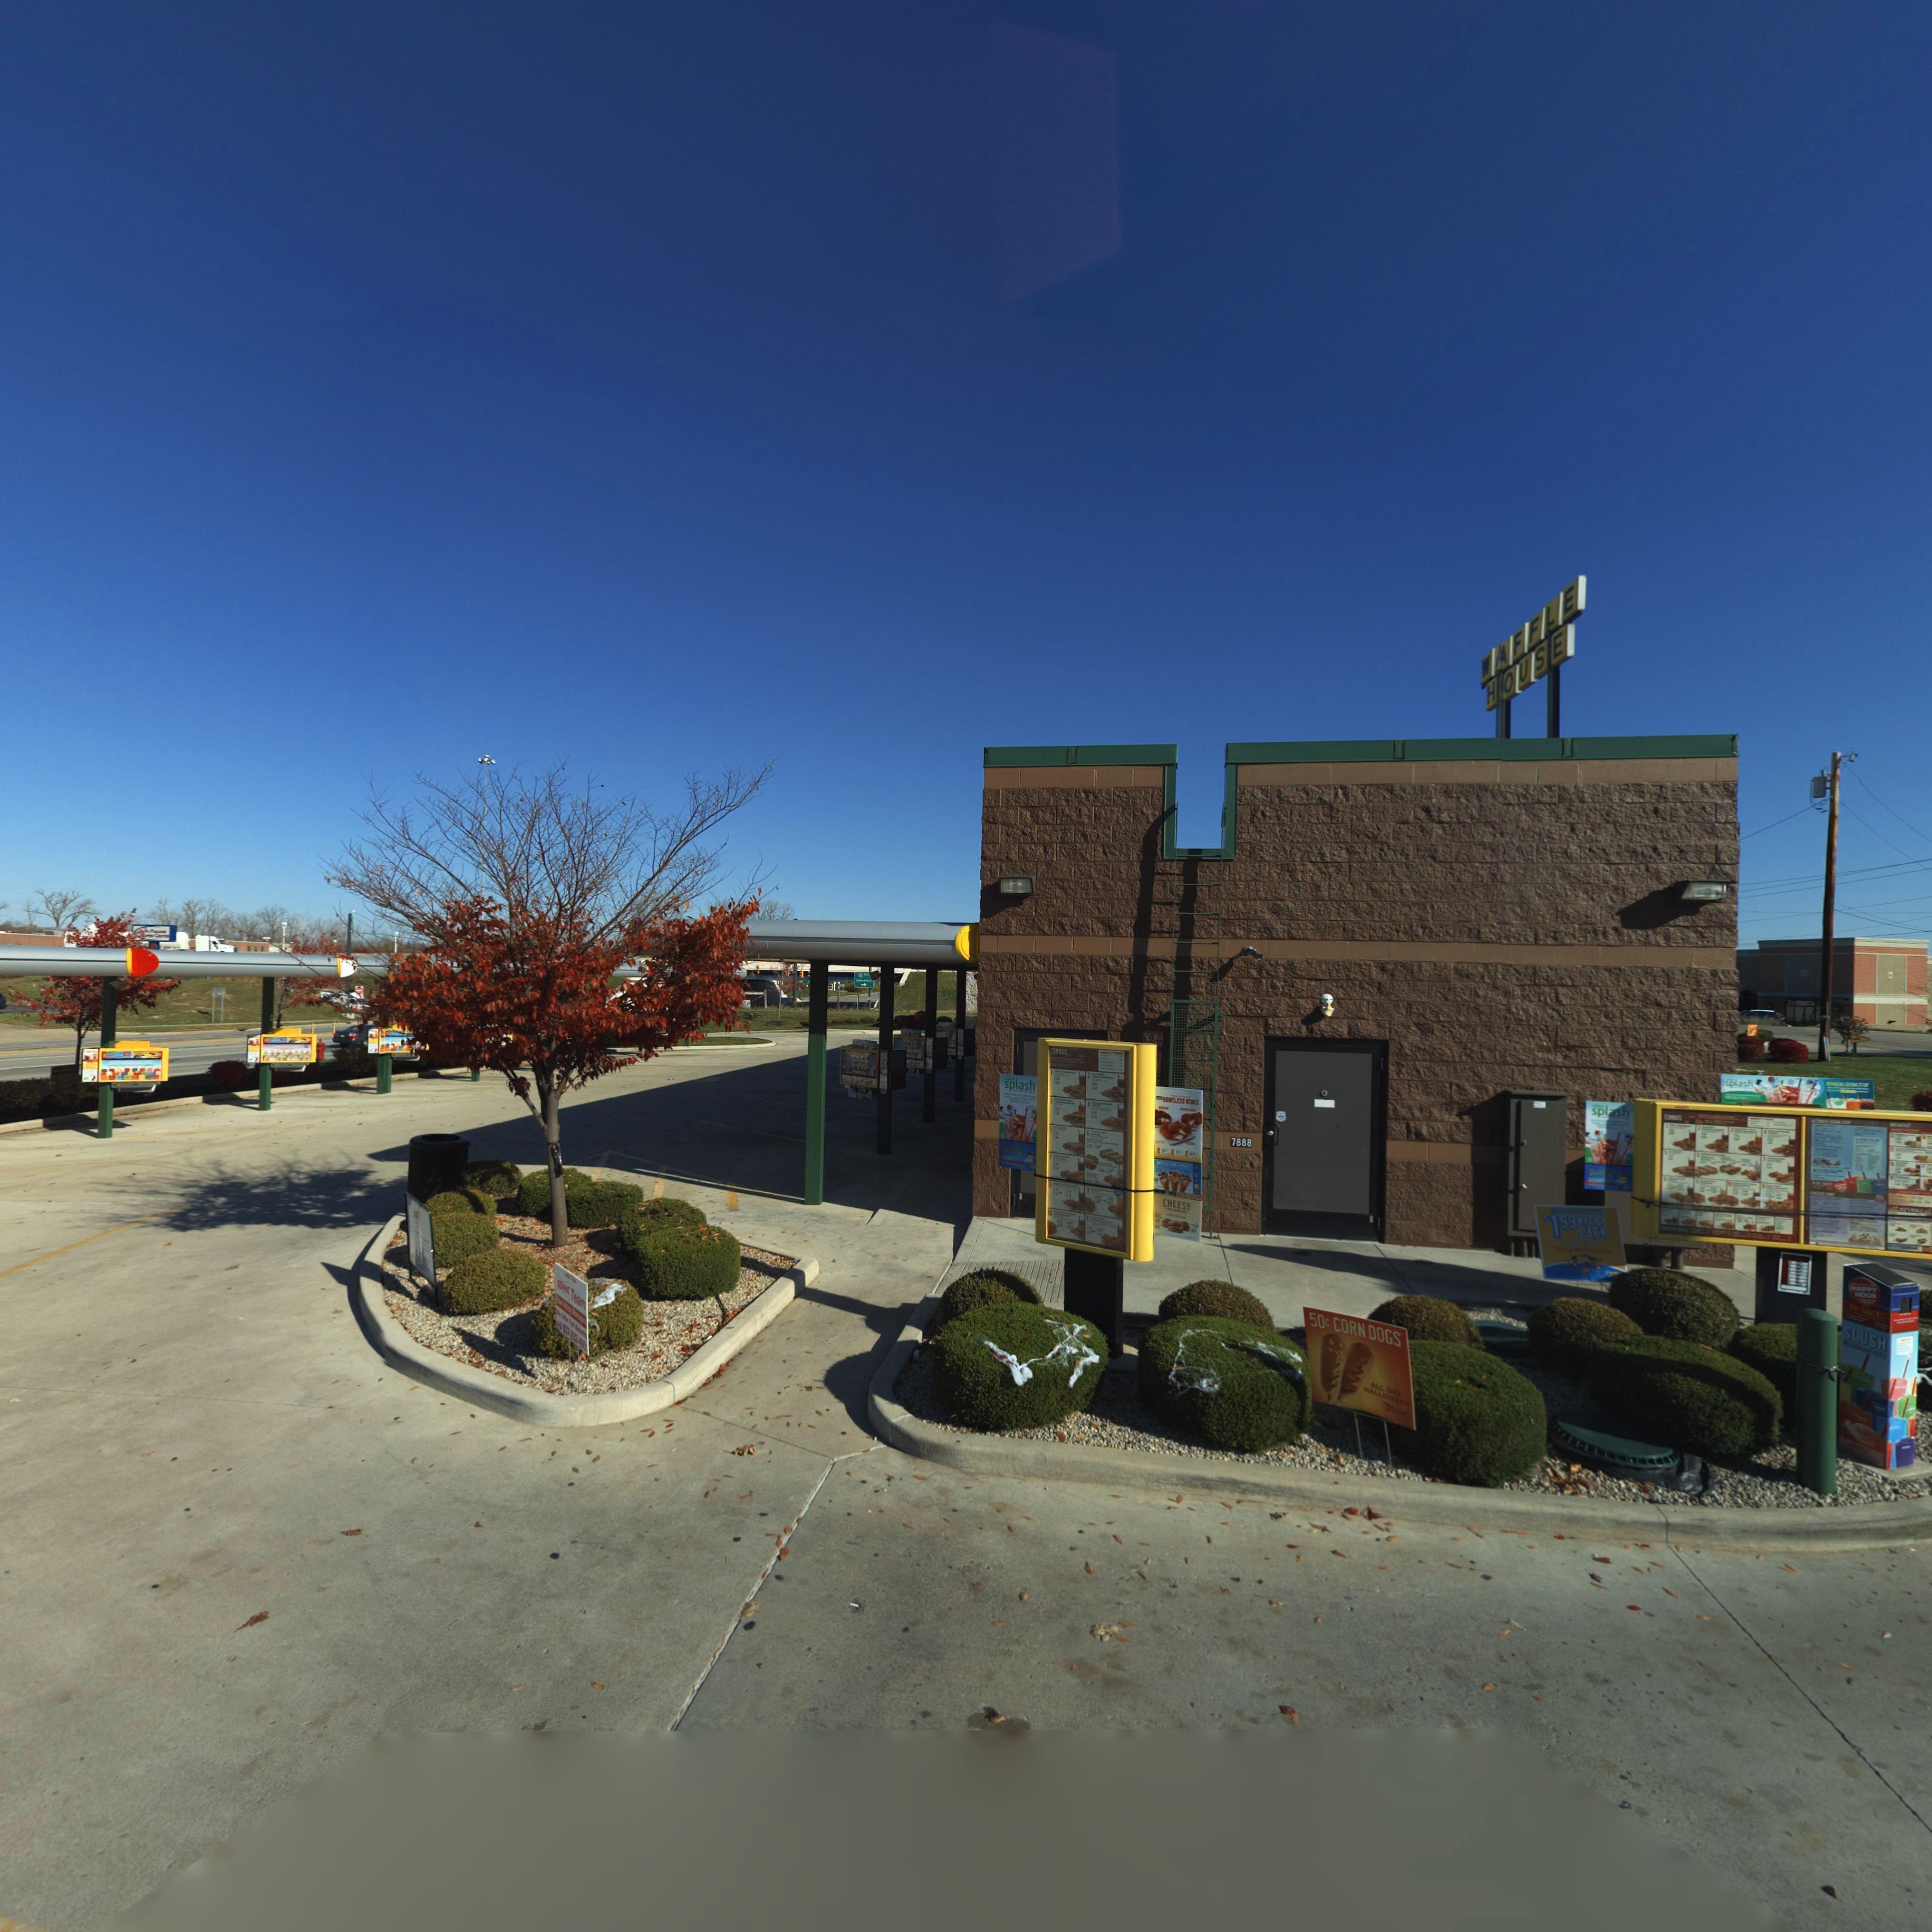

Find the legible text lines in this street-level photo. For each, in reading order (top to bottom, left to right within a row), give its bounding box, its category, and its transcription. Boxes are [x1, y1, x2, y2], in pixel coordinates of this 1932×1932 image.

[1230, 1137, 1252, 1147] StreetNumber: 7888